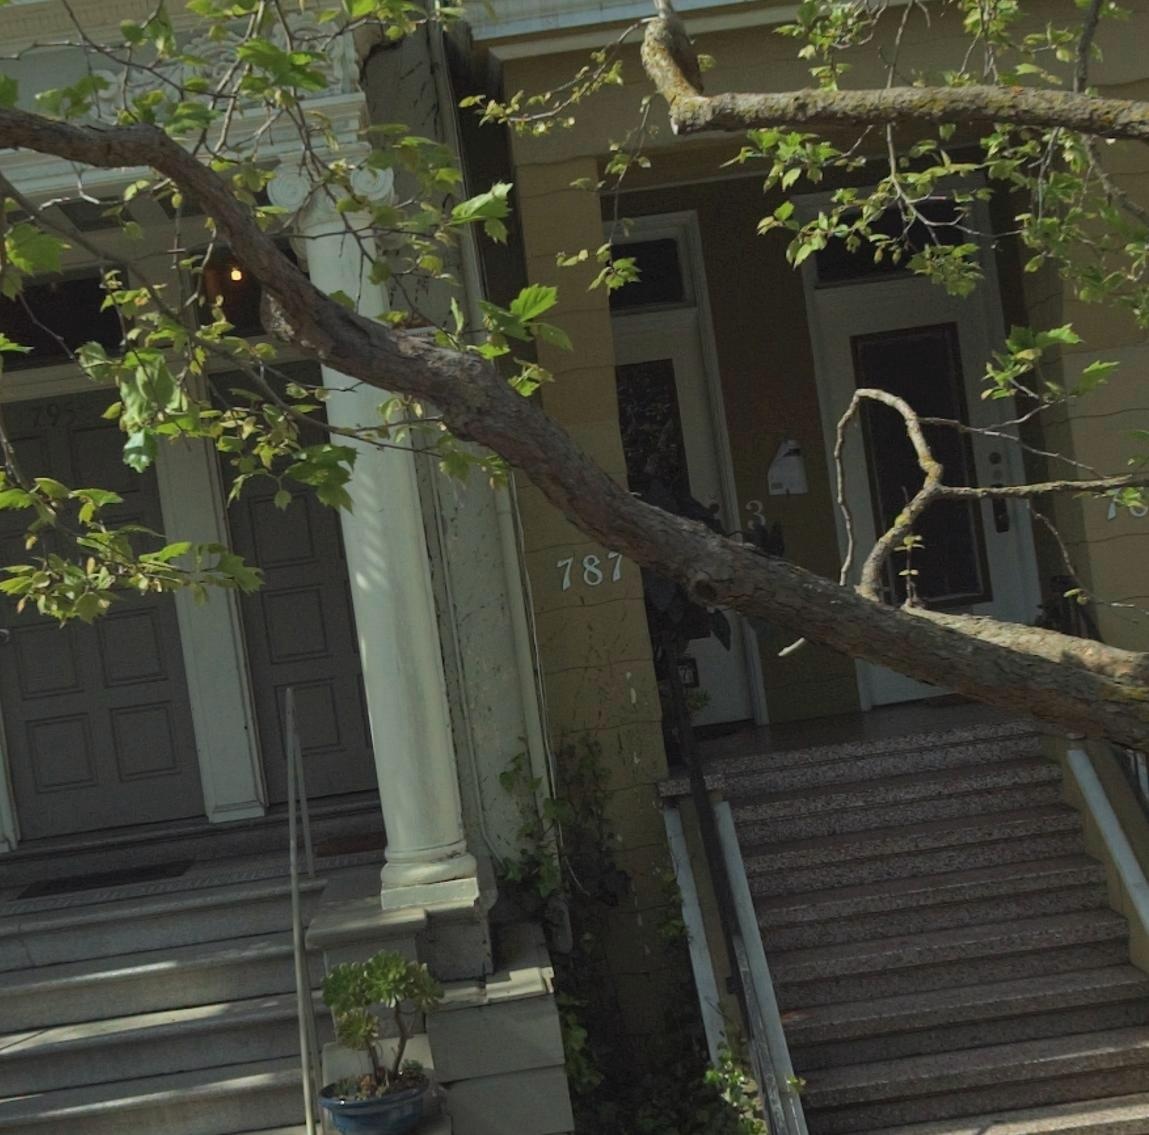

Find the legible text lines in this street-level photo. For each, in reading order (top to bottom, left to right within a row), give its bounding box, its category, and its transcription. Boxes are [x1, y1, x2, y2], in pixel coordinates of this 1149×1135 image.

[552, 546, 628, 597] StreetNumber: 78*
[677, 665, 690, 684] None: 7